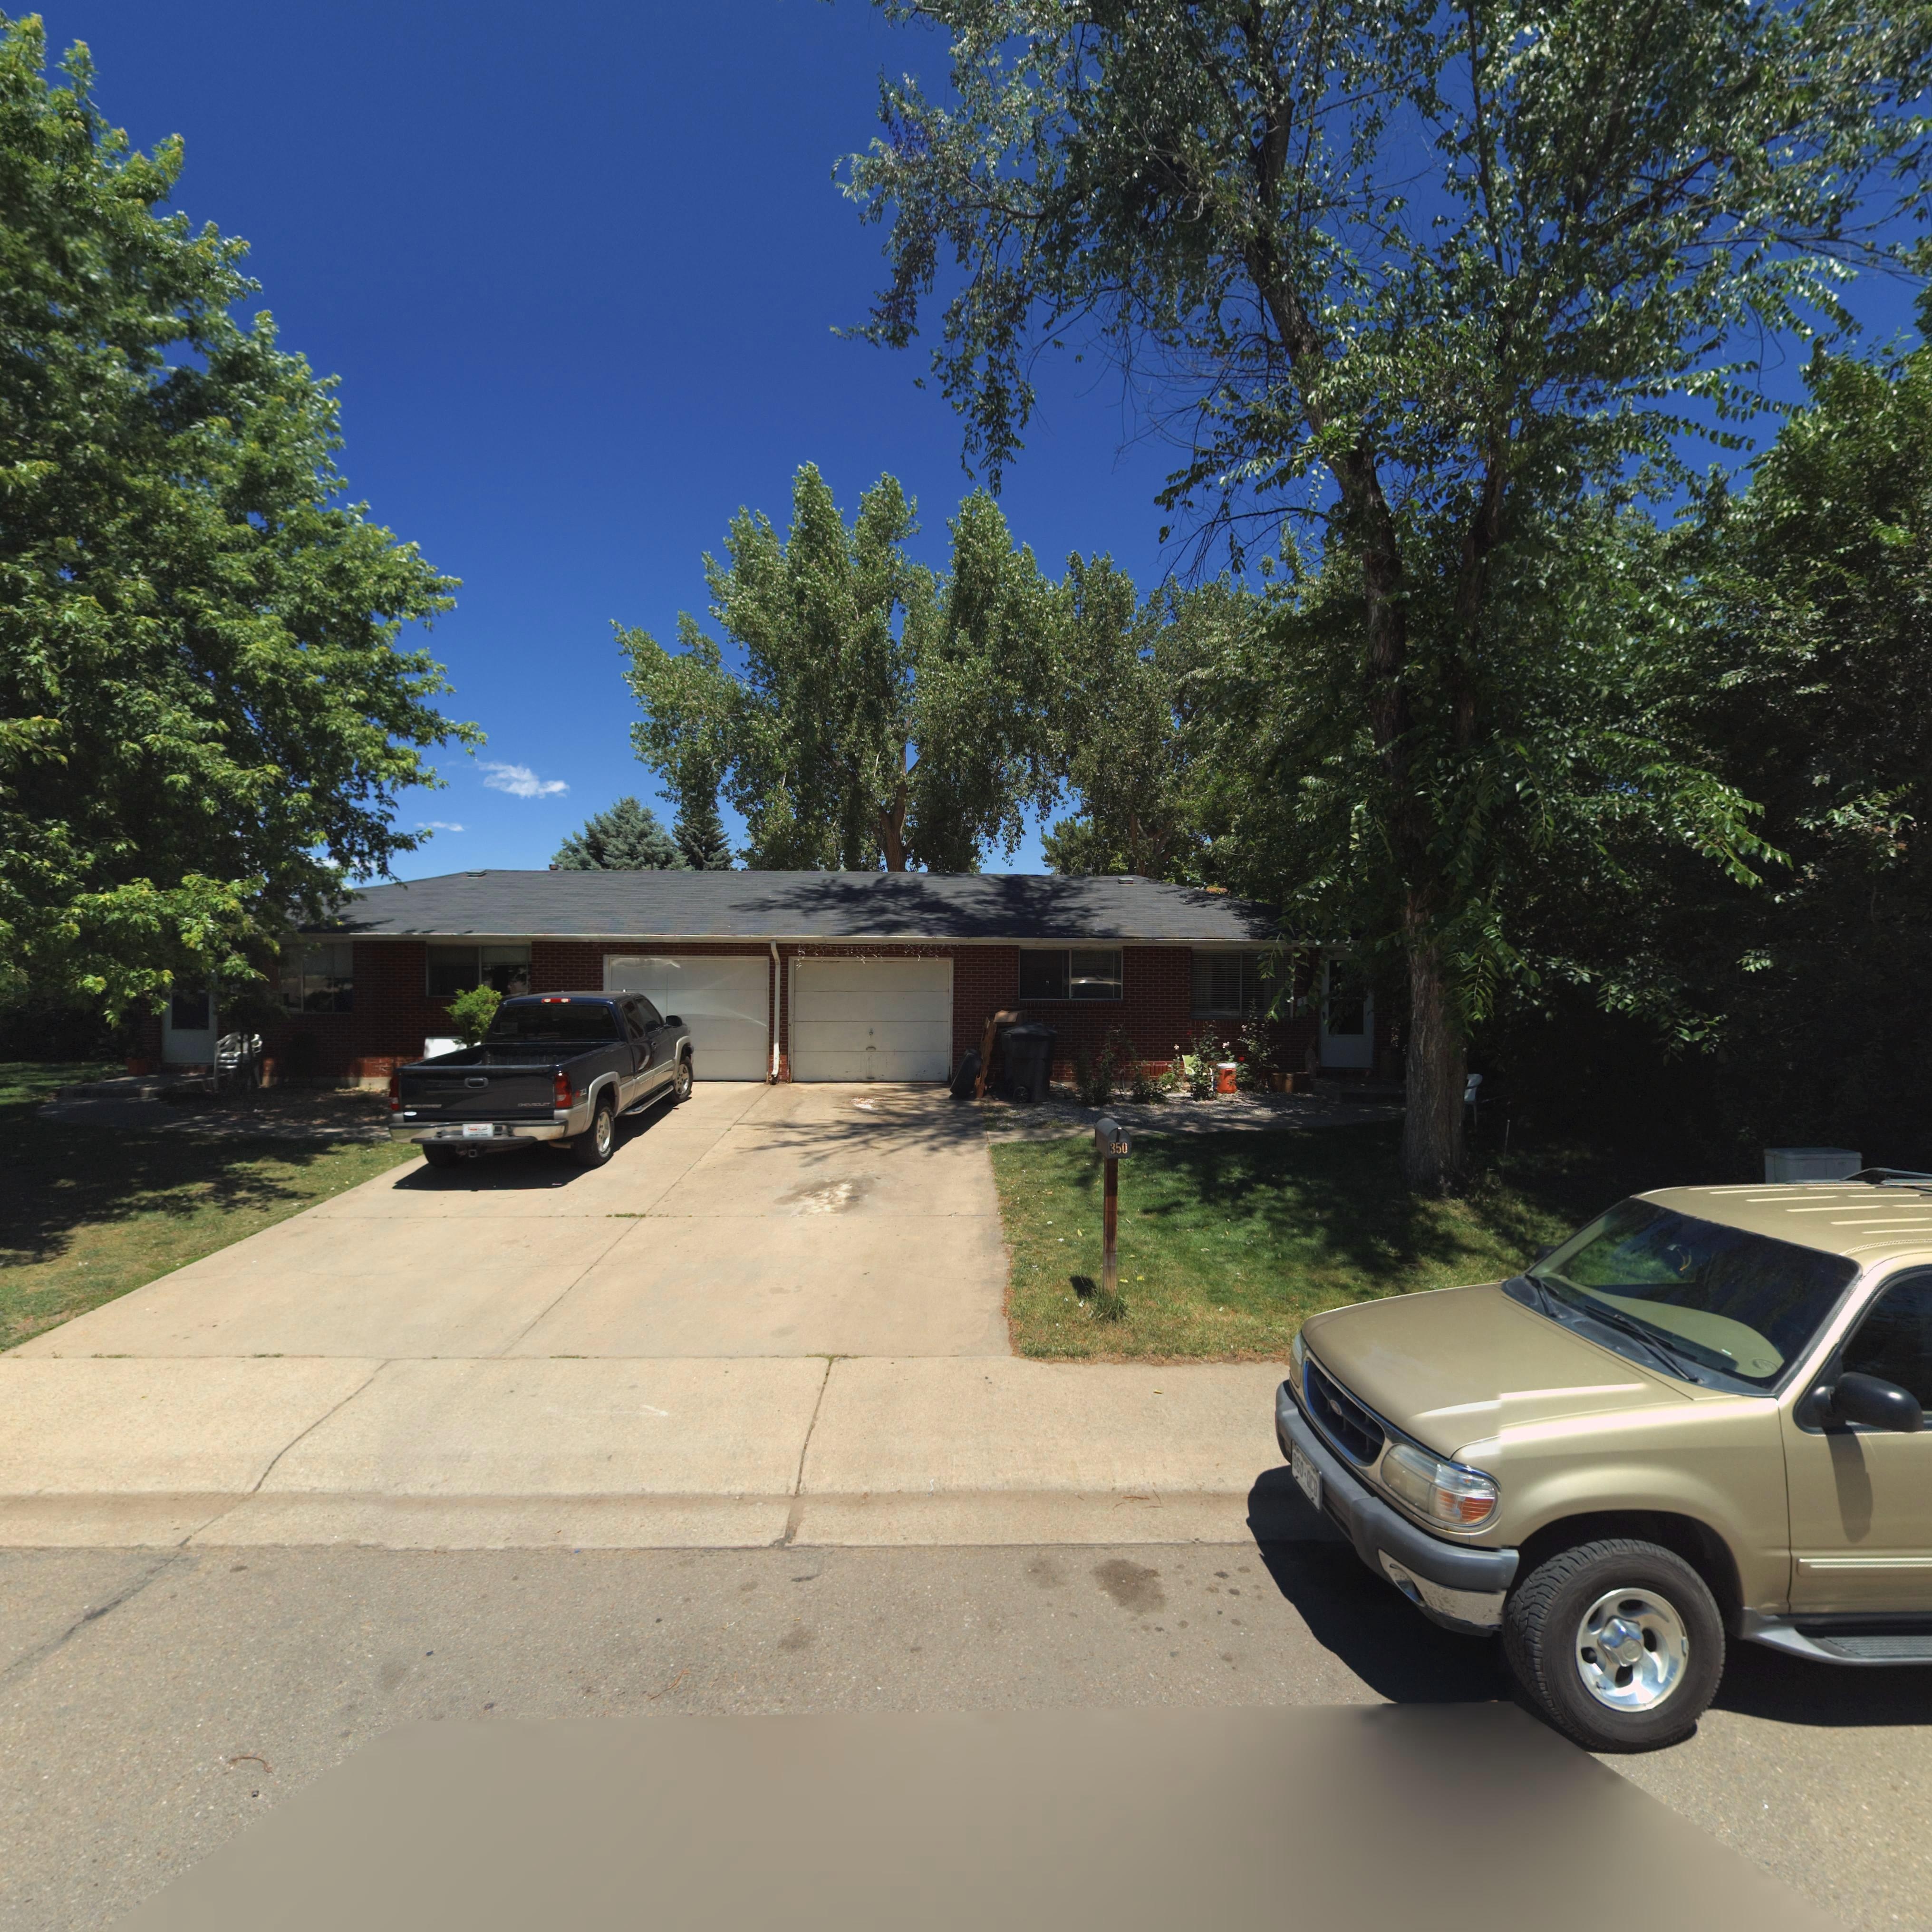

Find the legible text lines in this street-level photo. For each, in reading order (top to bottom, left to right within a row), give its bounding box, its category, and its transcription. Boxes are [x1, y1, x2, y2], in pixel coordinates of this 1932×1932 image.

[1299, 995, 1309, 1005] StreetNumber: 3**
[1110, 1141, 1128, 1154] StreetNumber: 350